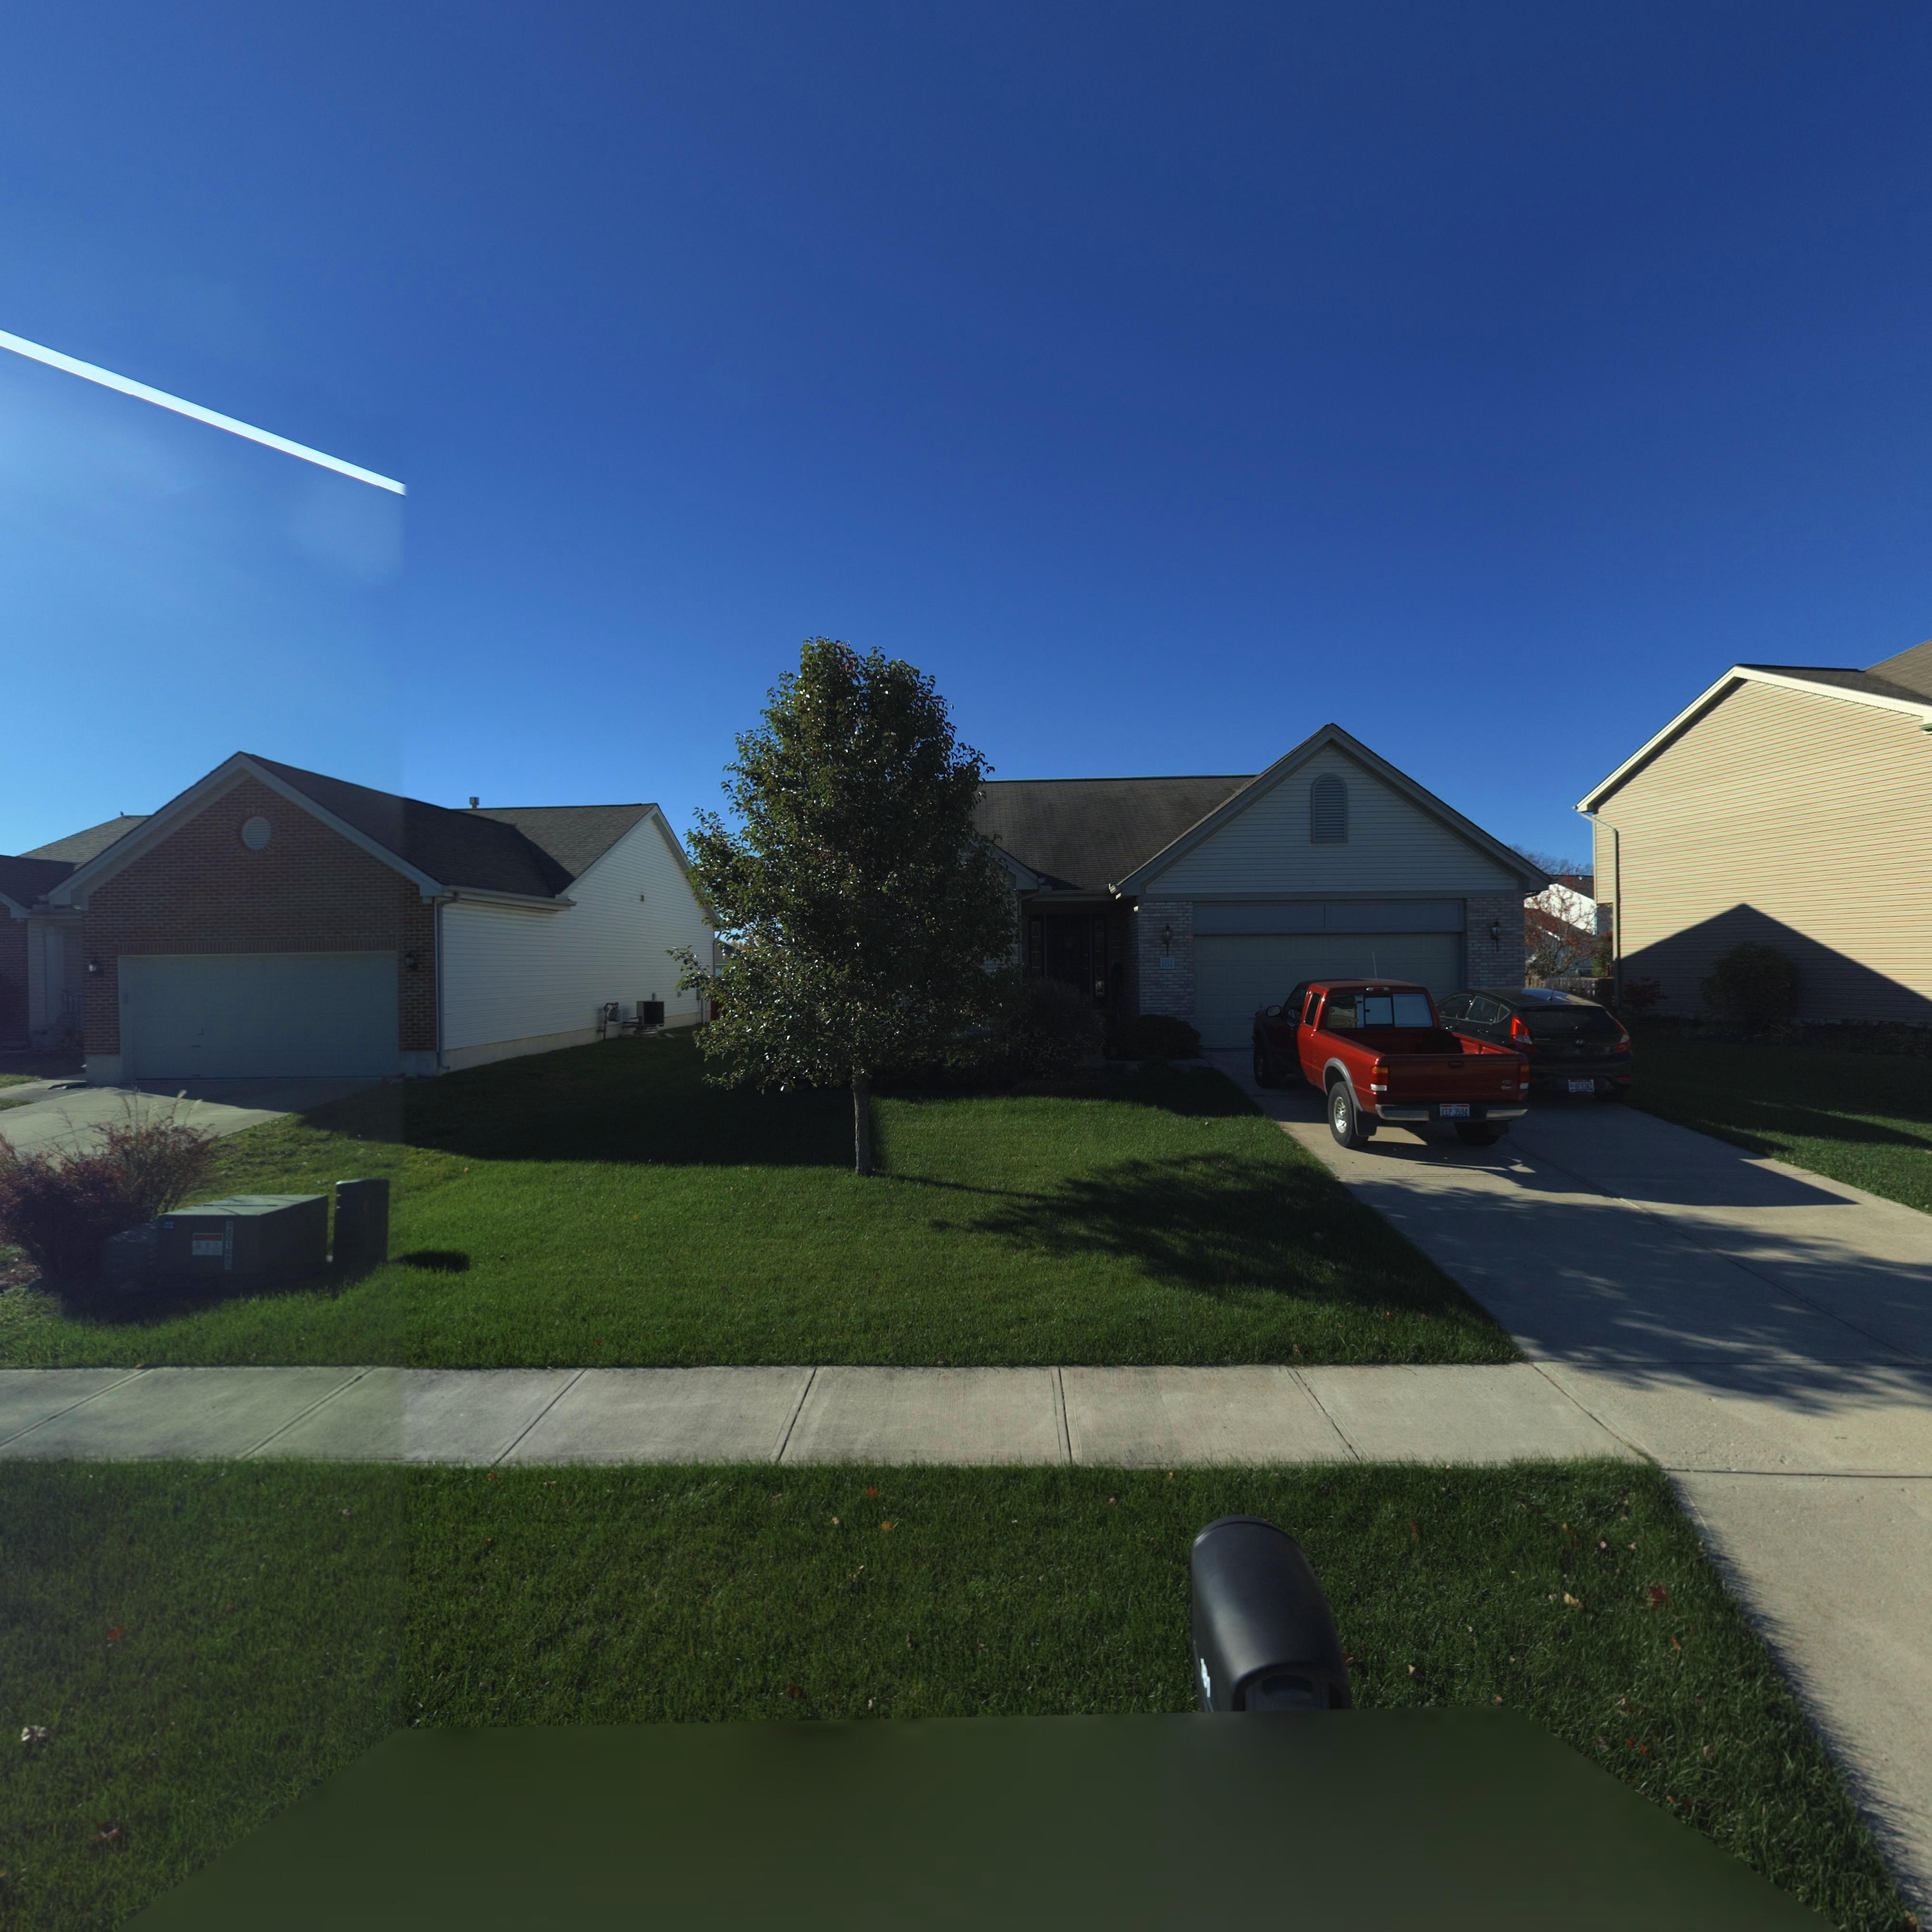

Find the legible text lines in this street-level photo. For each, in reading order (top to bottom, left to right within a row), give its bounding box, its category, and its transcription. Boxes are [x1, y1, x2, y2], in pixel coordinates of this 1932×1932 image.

[1162, 959, 1172, 968] StreetNumber: 181